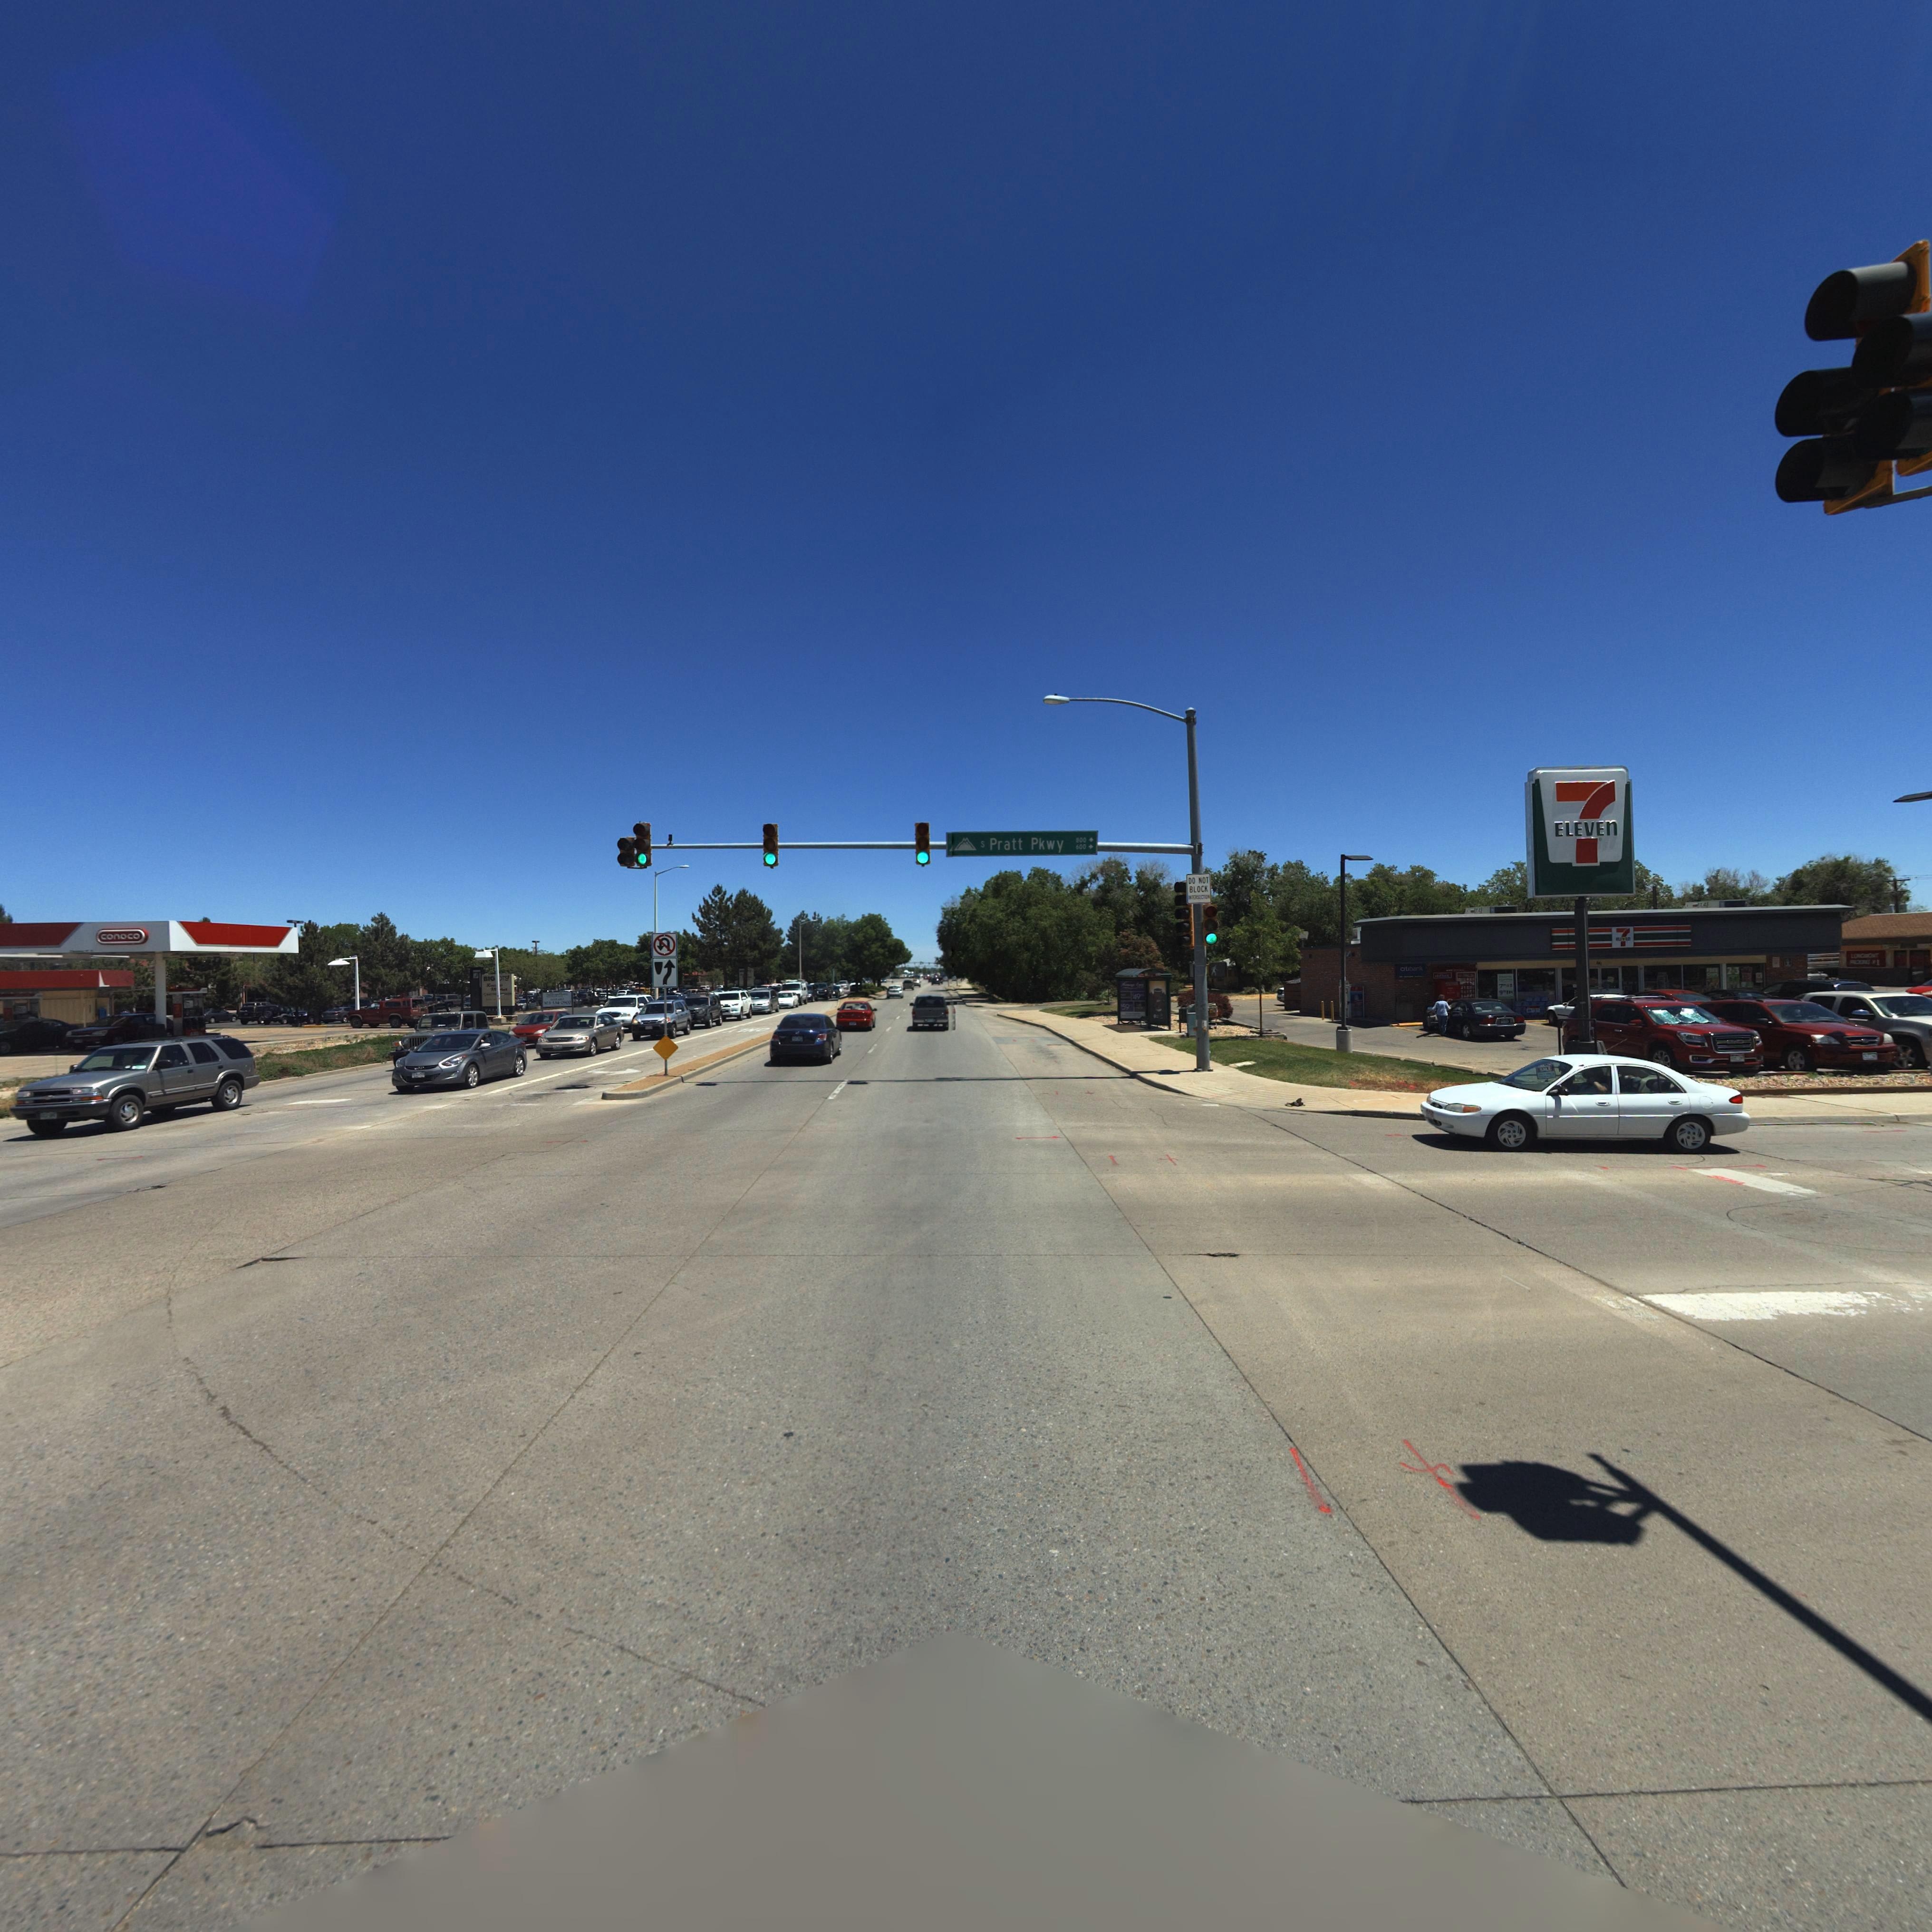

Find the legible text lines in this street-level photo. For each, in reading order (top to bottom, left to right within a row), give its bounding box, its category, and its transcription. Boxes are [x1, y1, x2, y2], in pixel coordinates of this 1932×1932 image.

[1554, 779, 1617, 867] BusinessName: 7
[1553, 819, 1619, 838] BusinessName: ELEVEN
[980, 836, 1064, 853] StreetName: S Pratt Pkwy
[1075, 837, 1086, 843] StreetNumberRange: 800
[1075, 843, 1094, 850] StreetNumberRange: 600->
[100, 933, 140, 940] BusinessName: conoco
[1615, 927, 1630, 947] BusinessName: 7
[483, 975, 510, 982] BusinessName: BIG**TS!